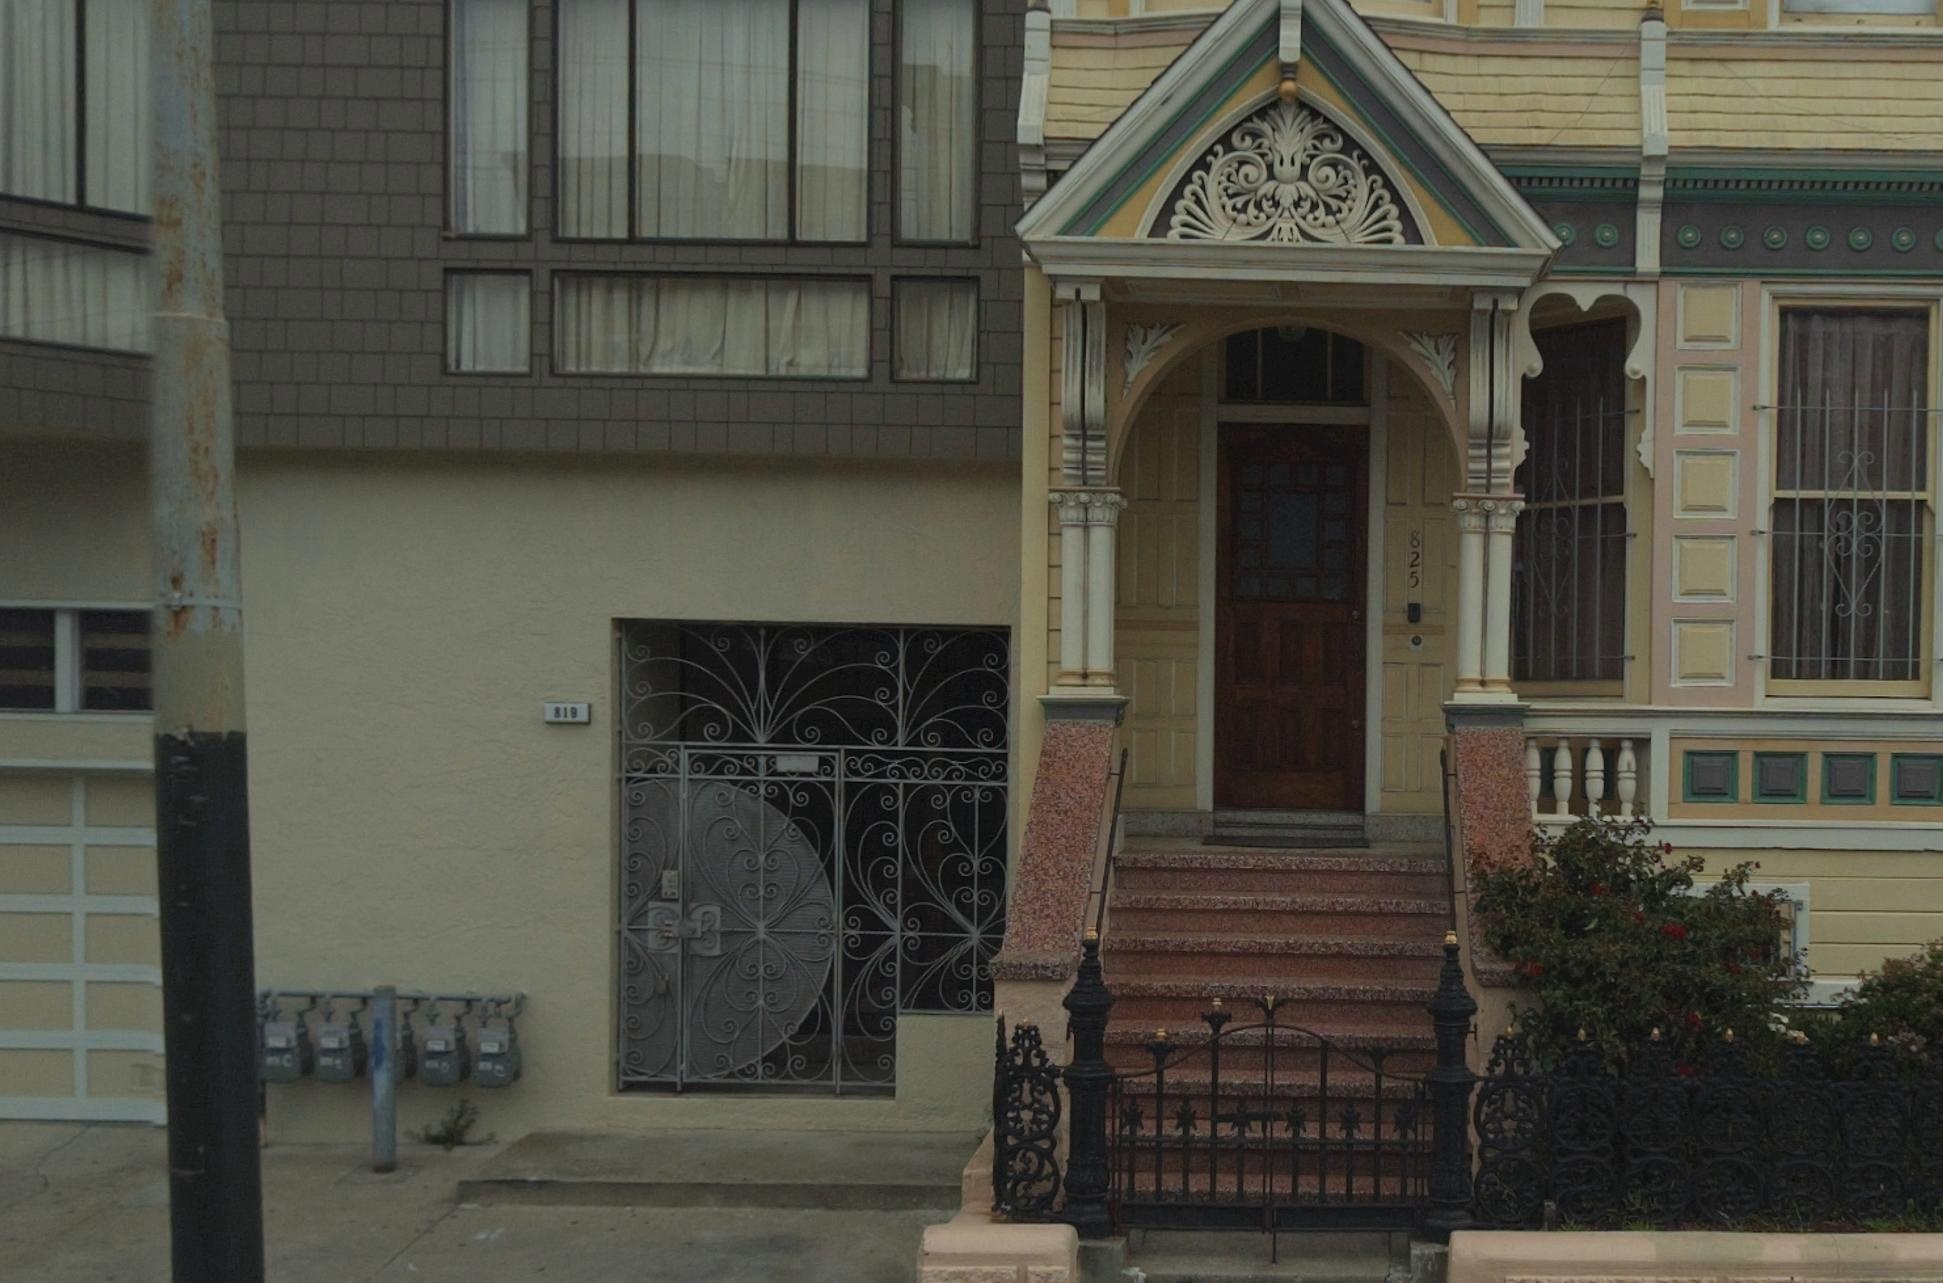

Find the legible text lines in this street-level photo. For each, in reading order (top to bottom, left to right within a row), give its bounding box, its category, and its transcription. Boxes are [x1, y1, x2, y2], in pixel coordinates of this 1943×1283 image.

[1409, 528, 1422, 589] StreetNumber: 825
[553, 705, 579, 720] StreetNumber: 819